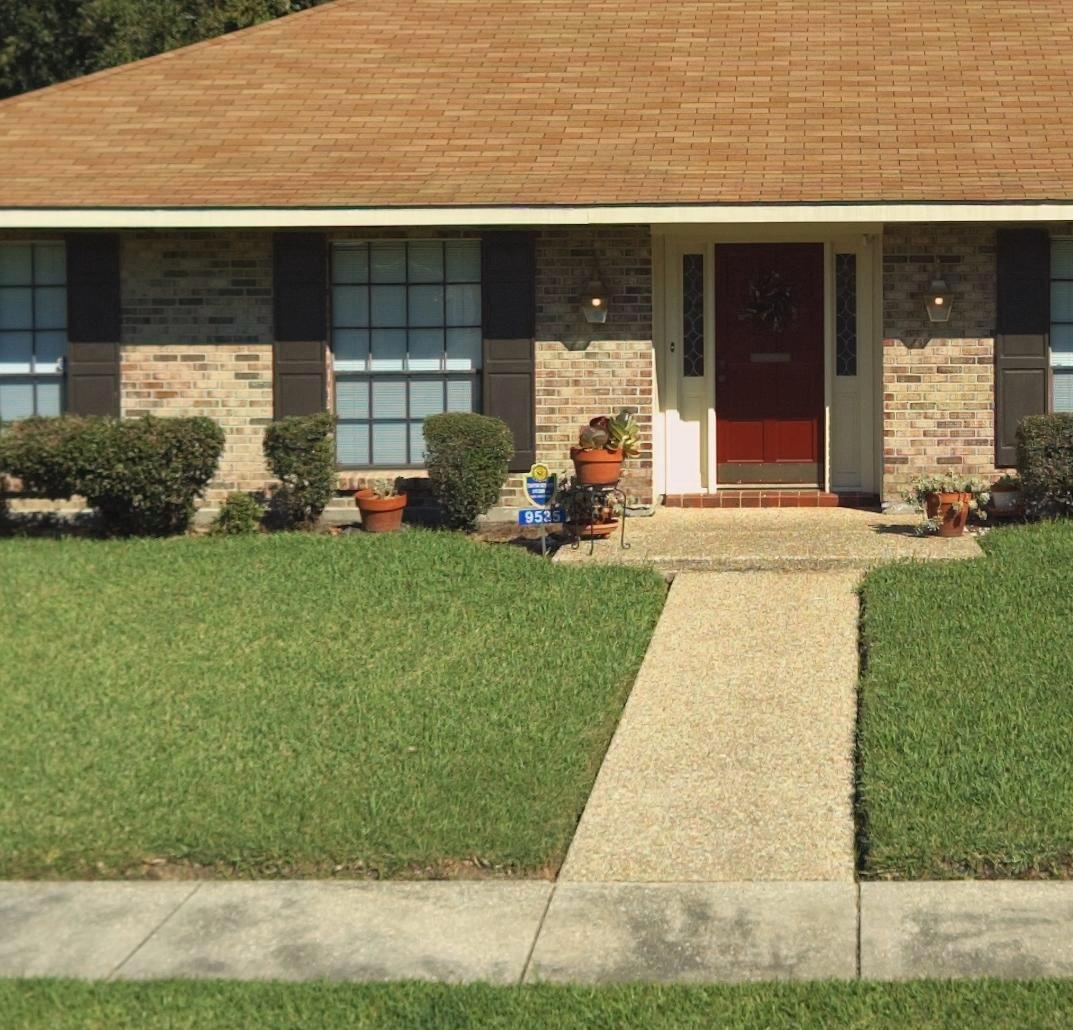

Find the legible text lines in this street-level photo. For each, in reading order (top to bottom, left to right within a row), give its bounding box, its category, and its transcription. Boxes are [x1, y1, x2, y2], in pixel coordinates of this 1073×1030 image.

[523, 508, 562, 525] StreetNumber: 95*5